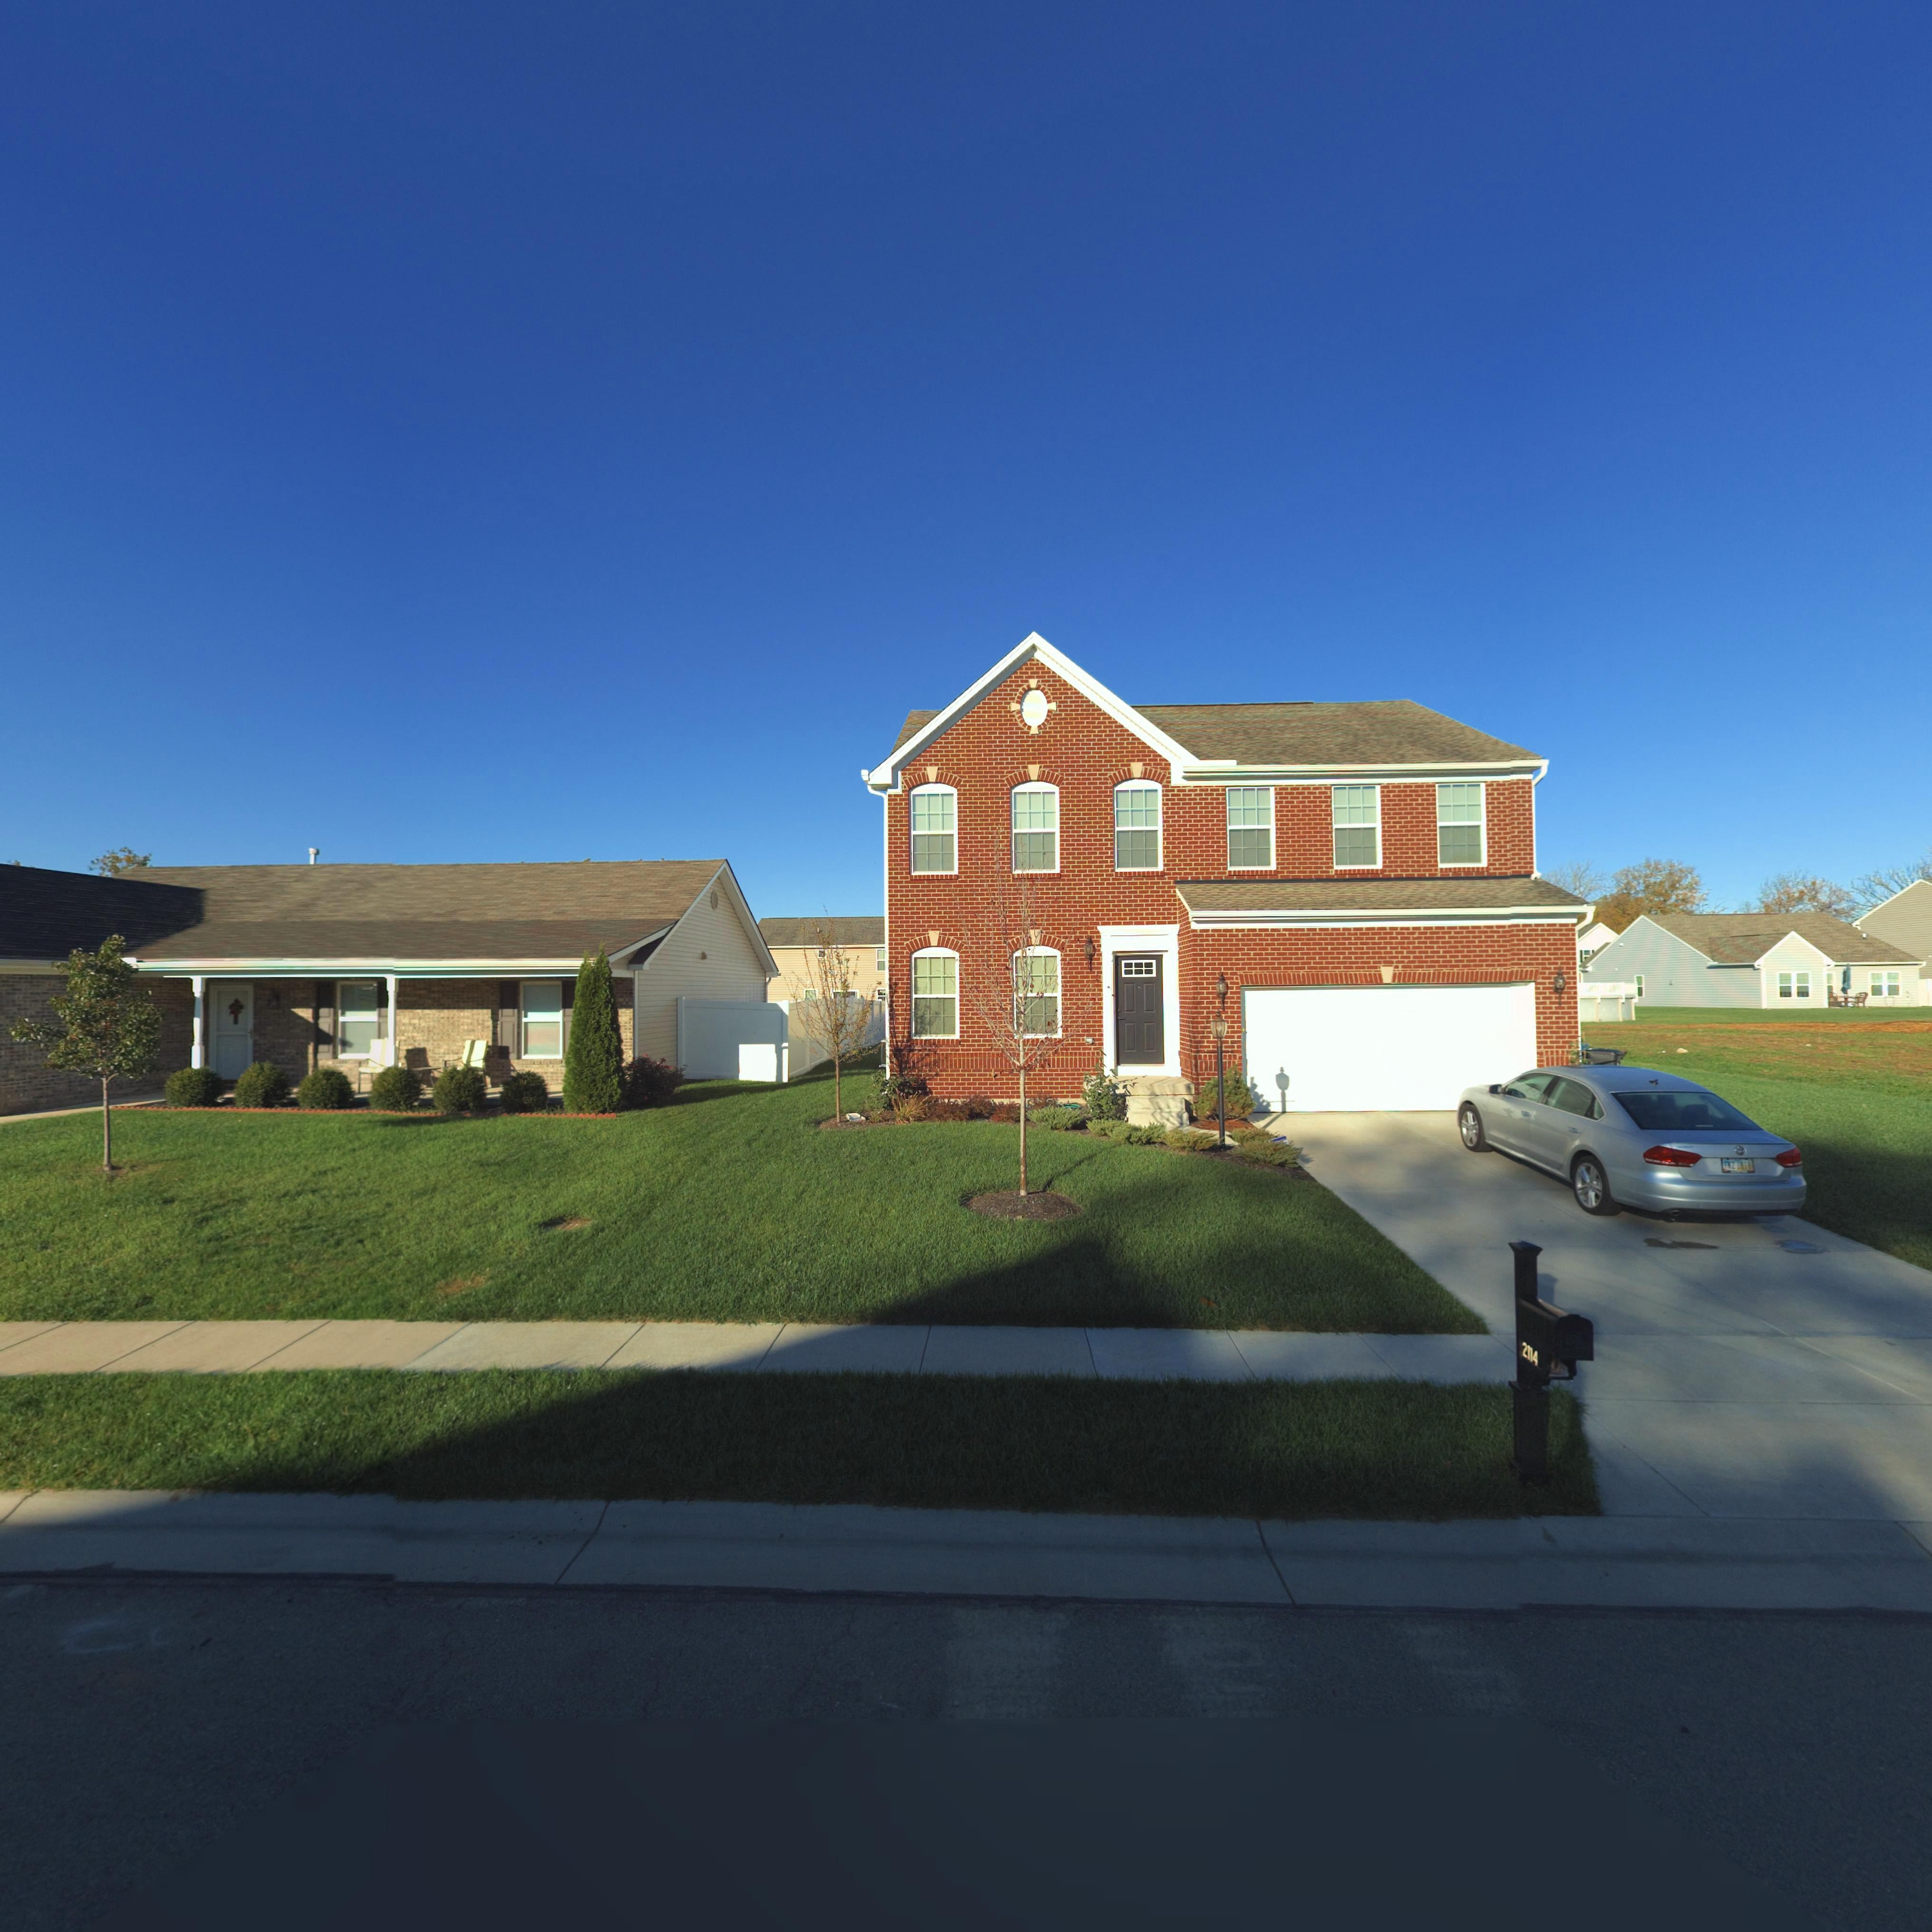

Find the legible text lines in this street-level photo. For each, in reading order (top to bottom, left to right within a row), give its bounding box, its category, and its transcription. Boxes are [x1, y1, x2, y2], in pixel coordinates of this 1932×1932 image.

[1520, 1339, 1540, 1368] StreetNumber: 2114